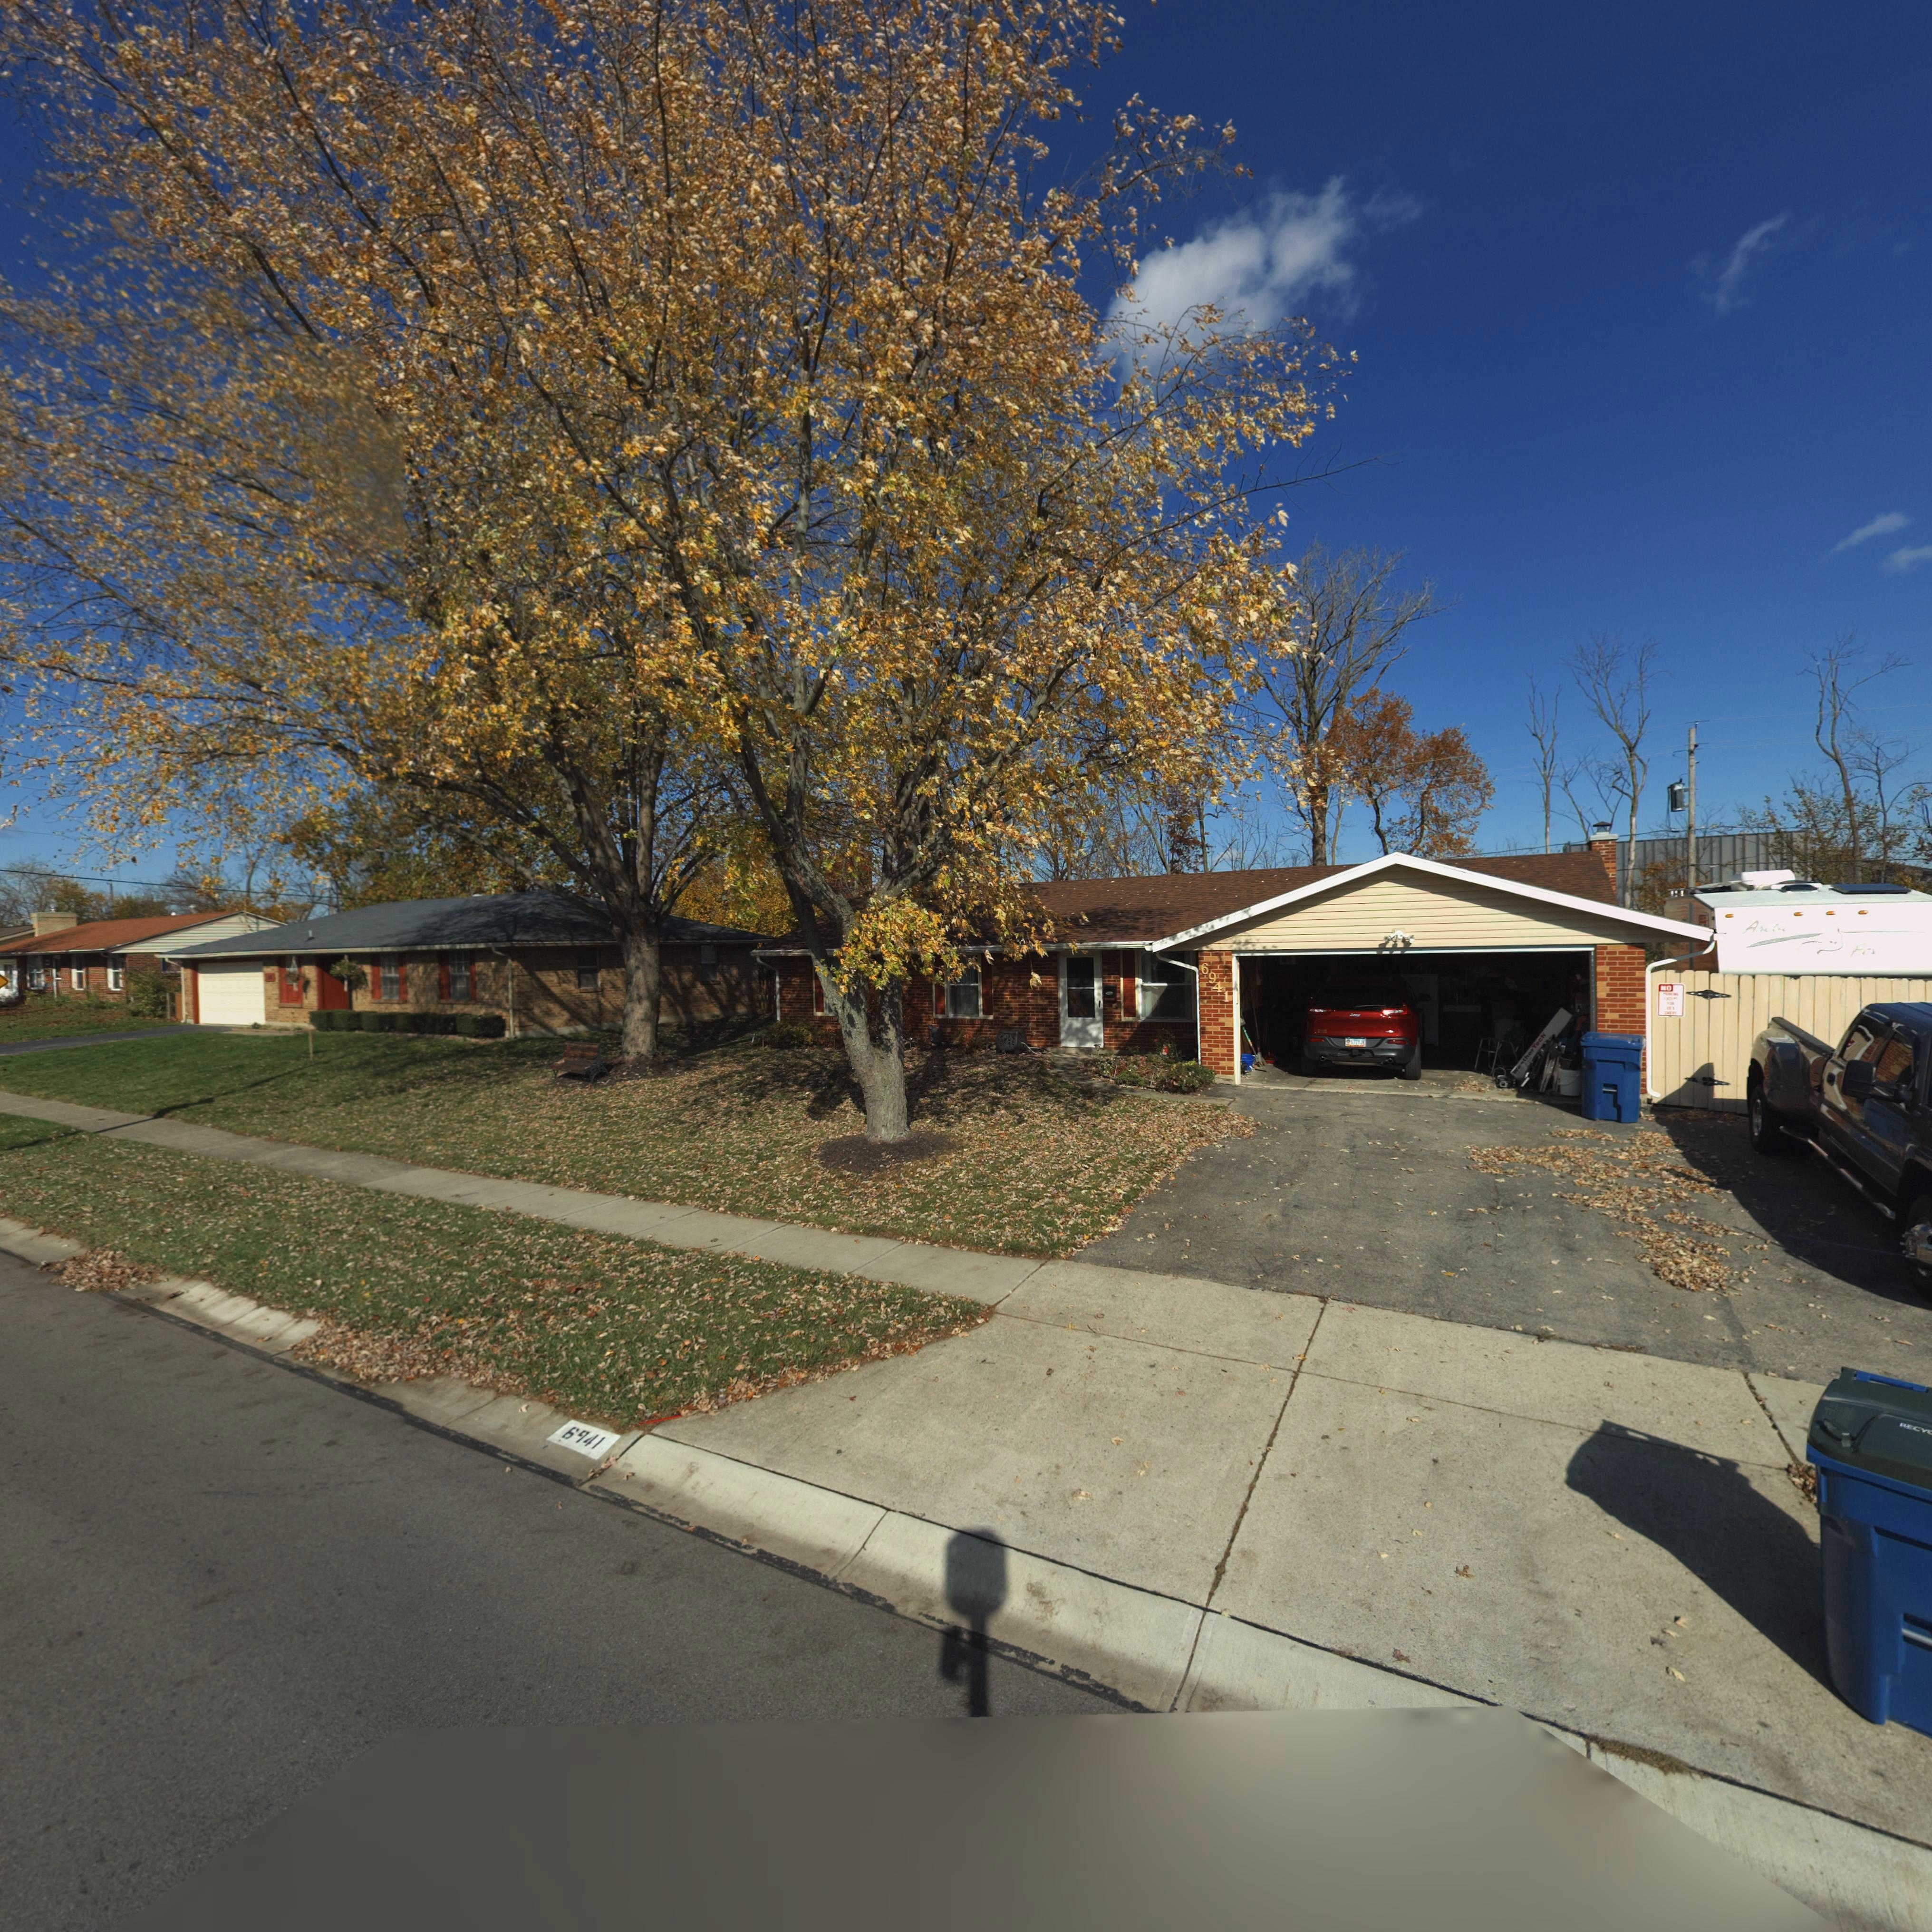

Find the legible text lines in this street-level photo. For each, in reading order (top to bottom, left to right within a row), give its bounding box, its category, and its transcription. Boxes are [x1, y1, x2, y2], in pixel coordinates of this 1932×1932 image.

[1200, 962, 1230, 1004] StreetNumber: 6941
[560, 1424, 607, 1450] StreetNumber: 6941